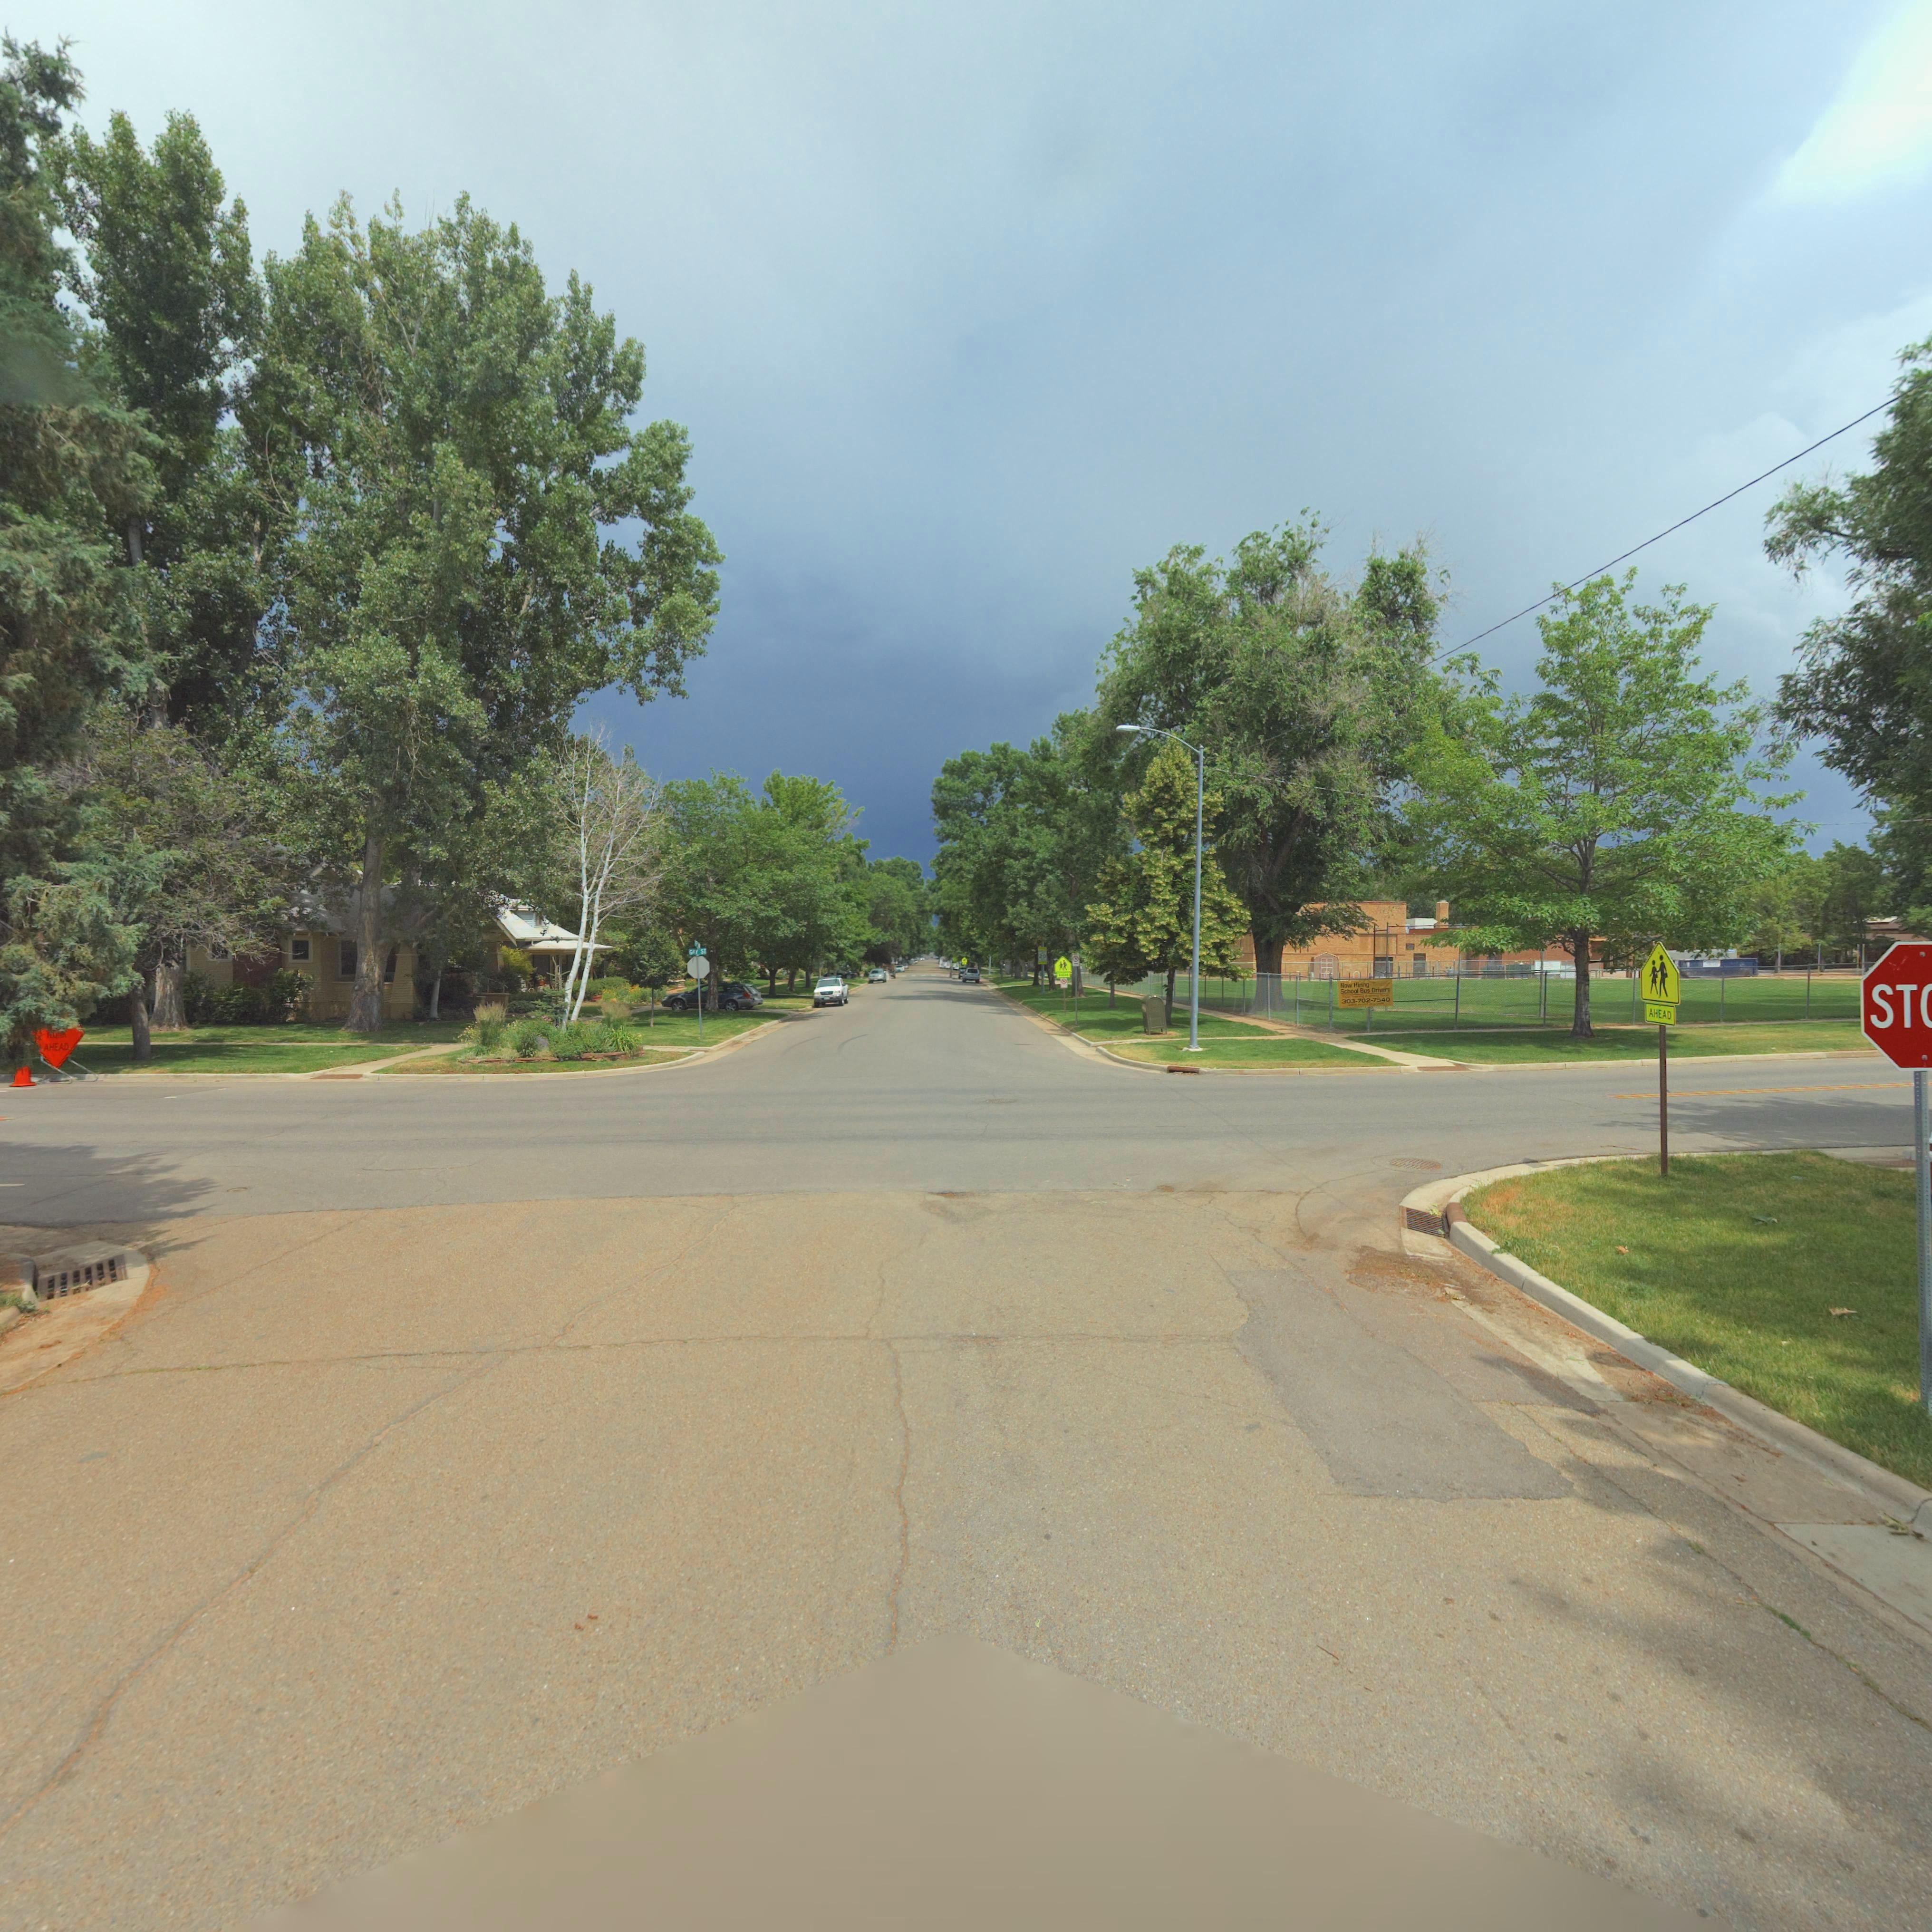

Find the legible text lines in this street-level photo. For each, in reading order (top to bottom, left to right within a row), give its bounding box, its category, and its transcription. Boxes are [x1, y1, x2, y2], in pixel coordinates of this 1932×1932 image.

[689, 948, 706, 955] StreetName: GAY ST